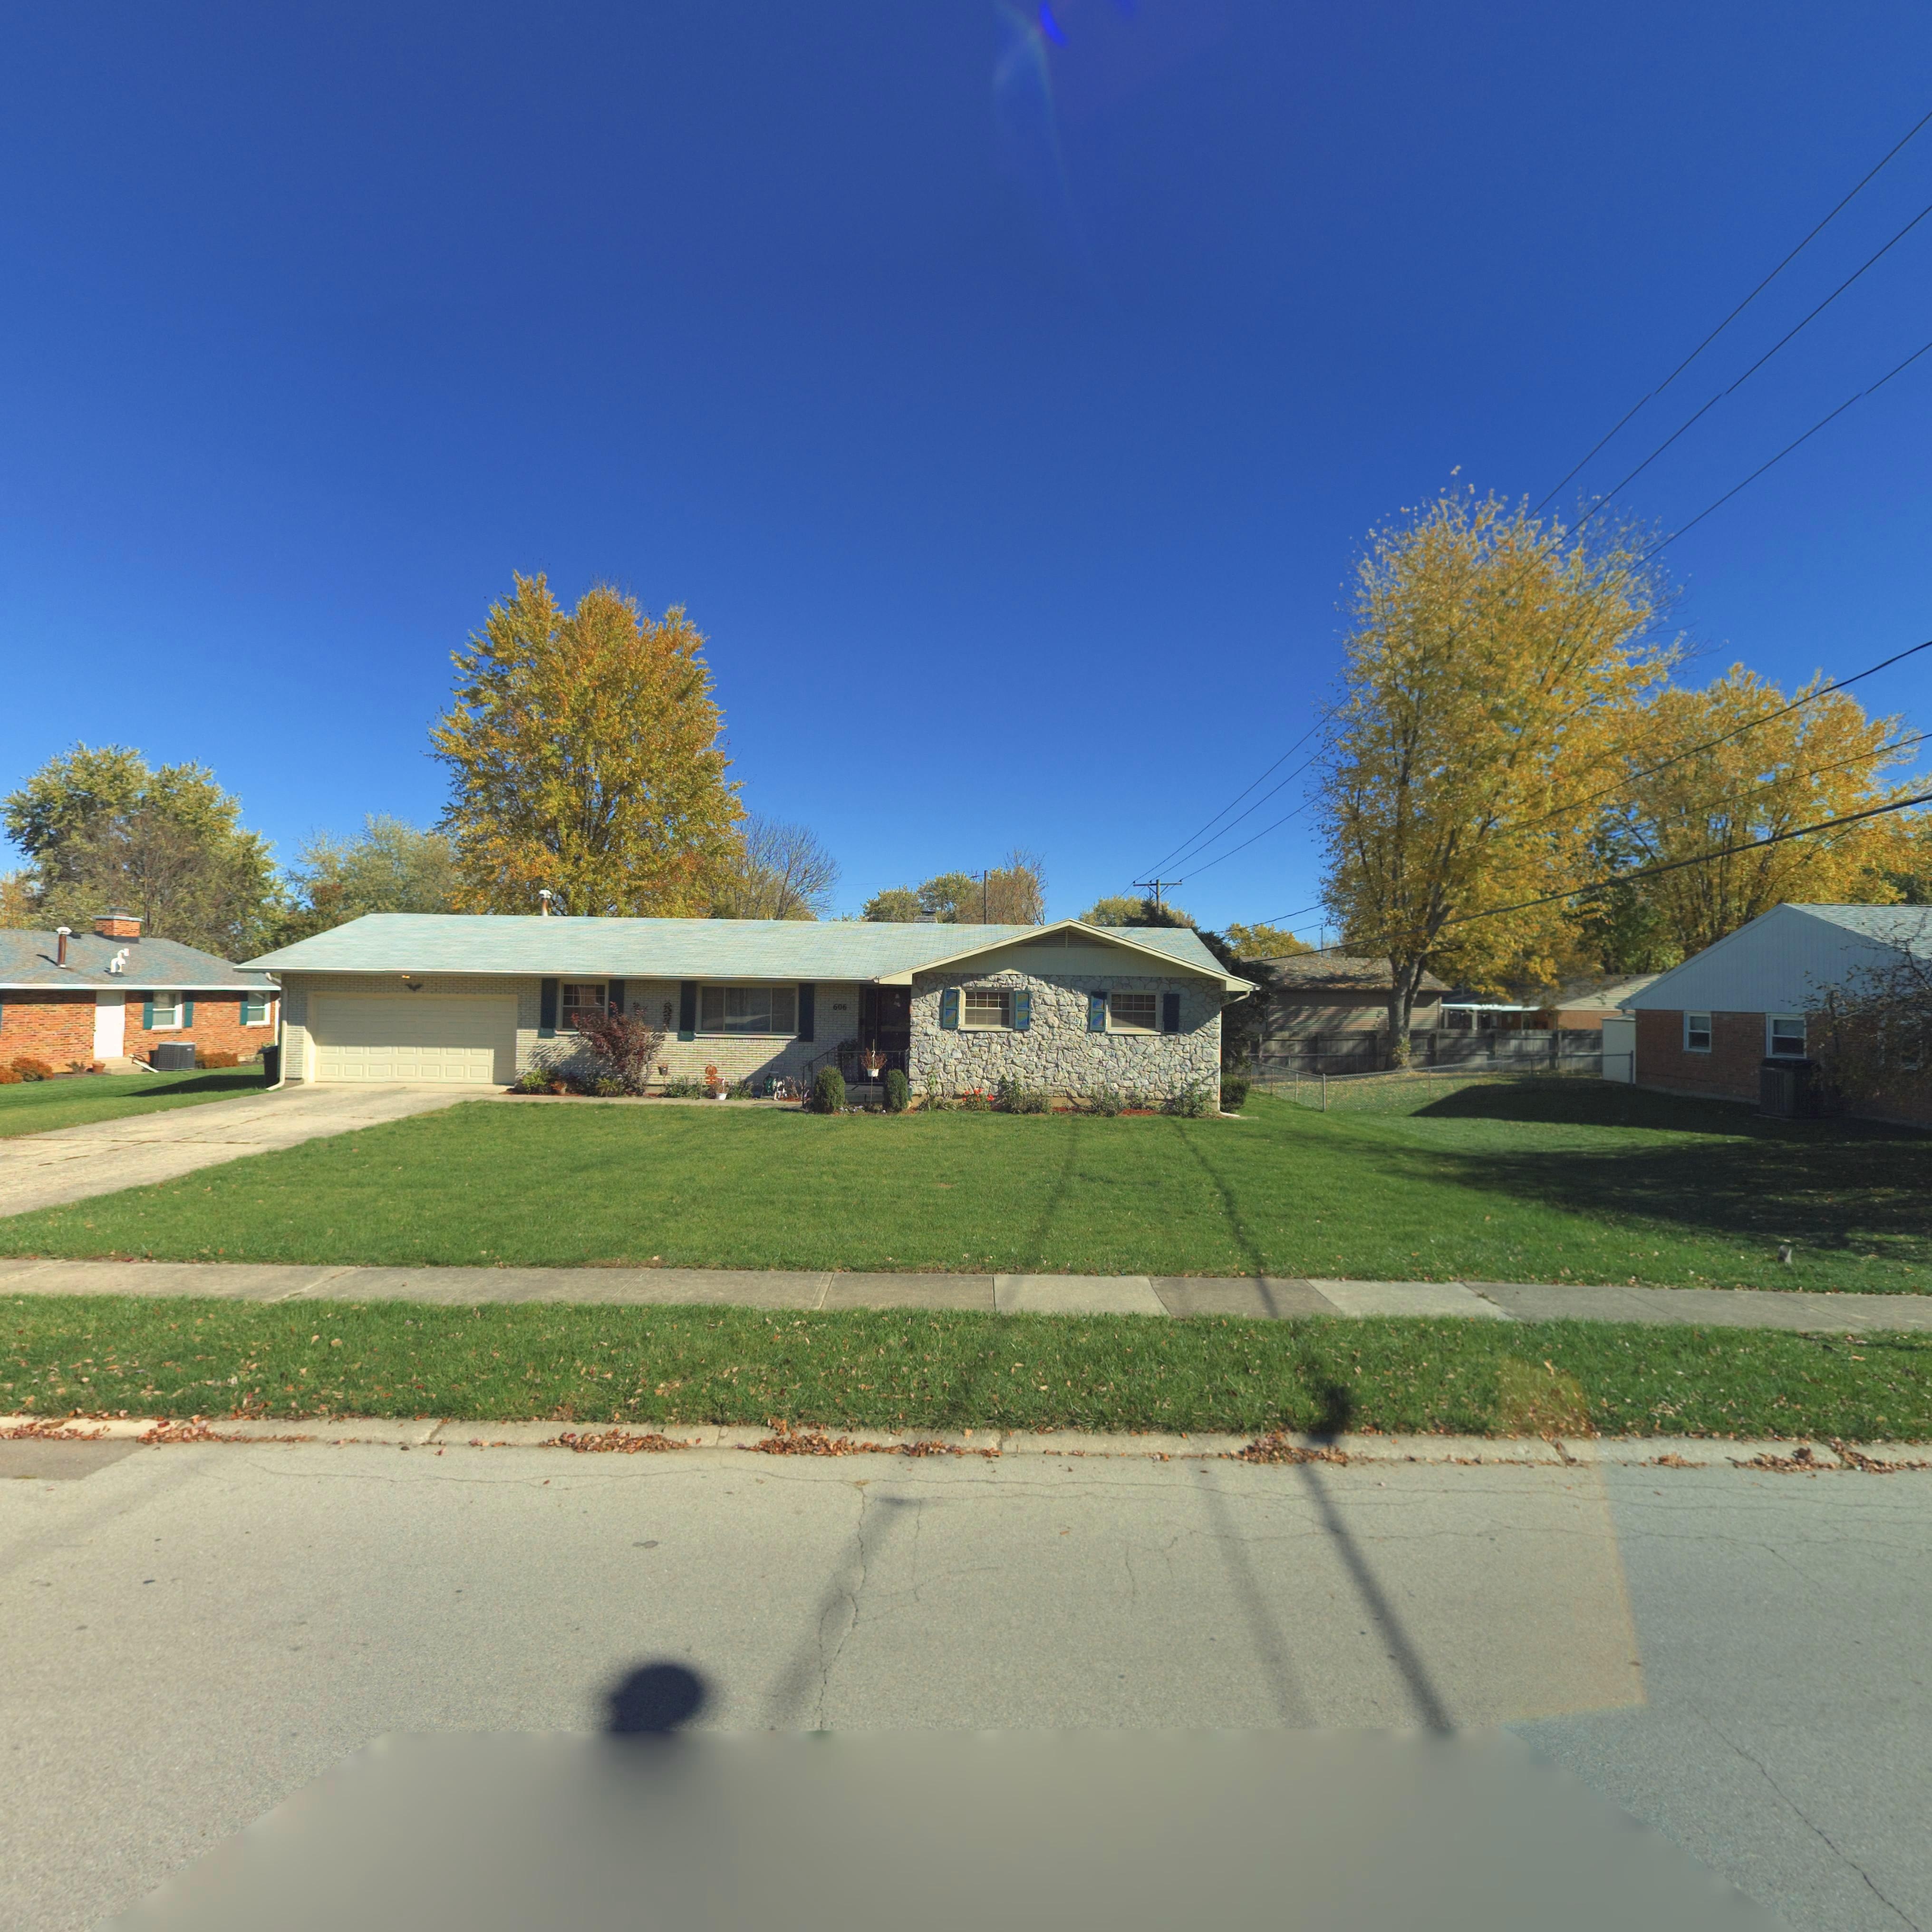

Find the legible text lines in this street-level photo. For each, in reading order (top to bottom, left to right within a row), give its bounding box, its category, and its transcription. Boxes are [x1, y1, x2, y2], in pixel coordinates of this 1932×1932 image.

[833, 1003, 847, 1010] StreetNumber: 606